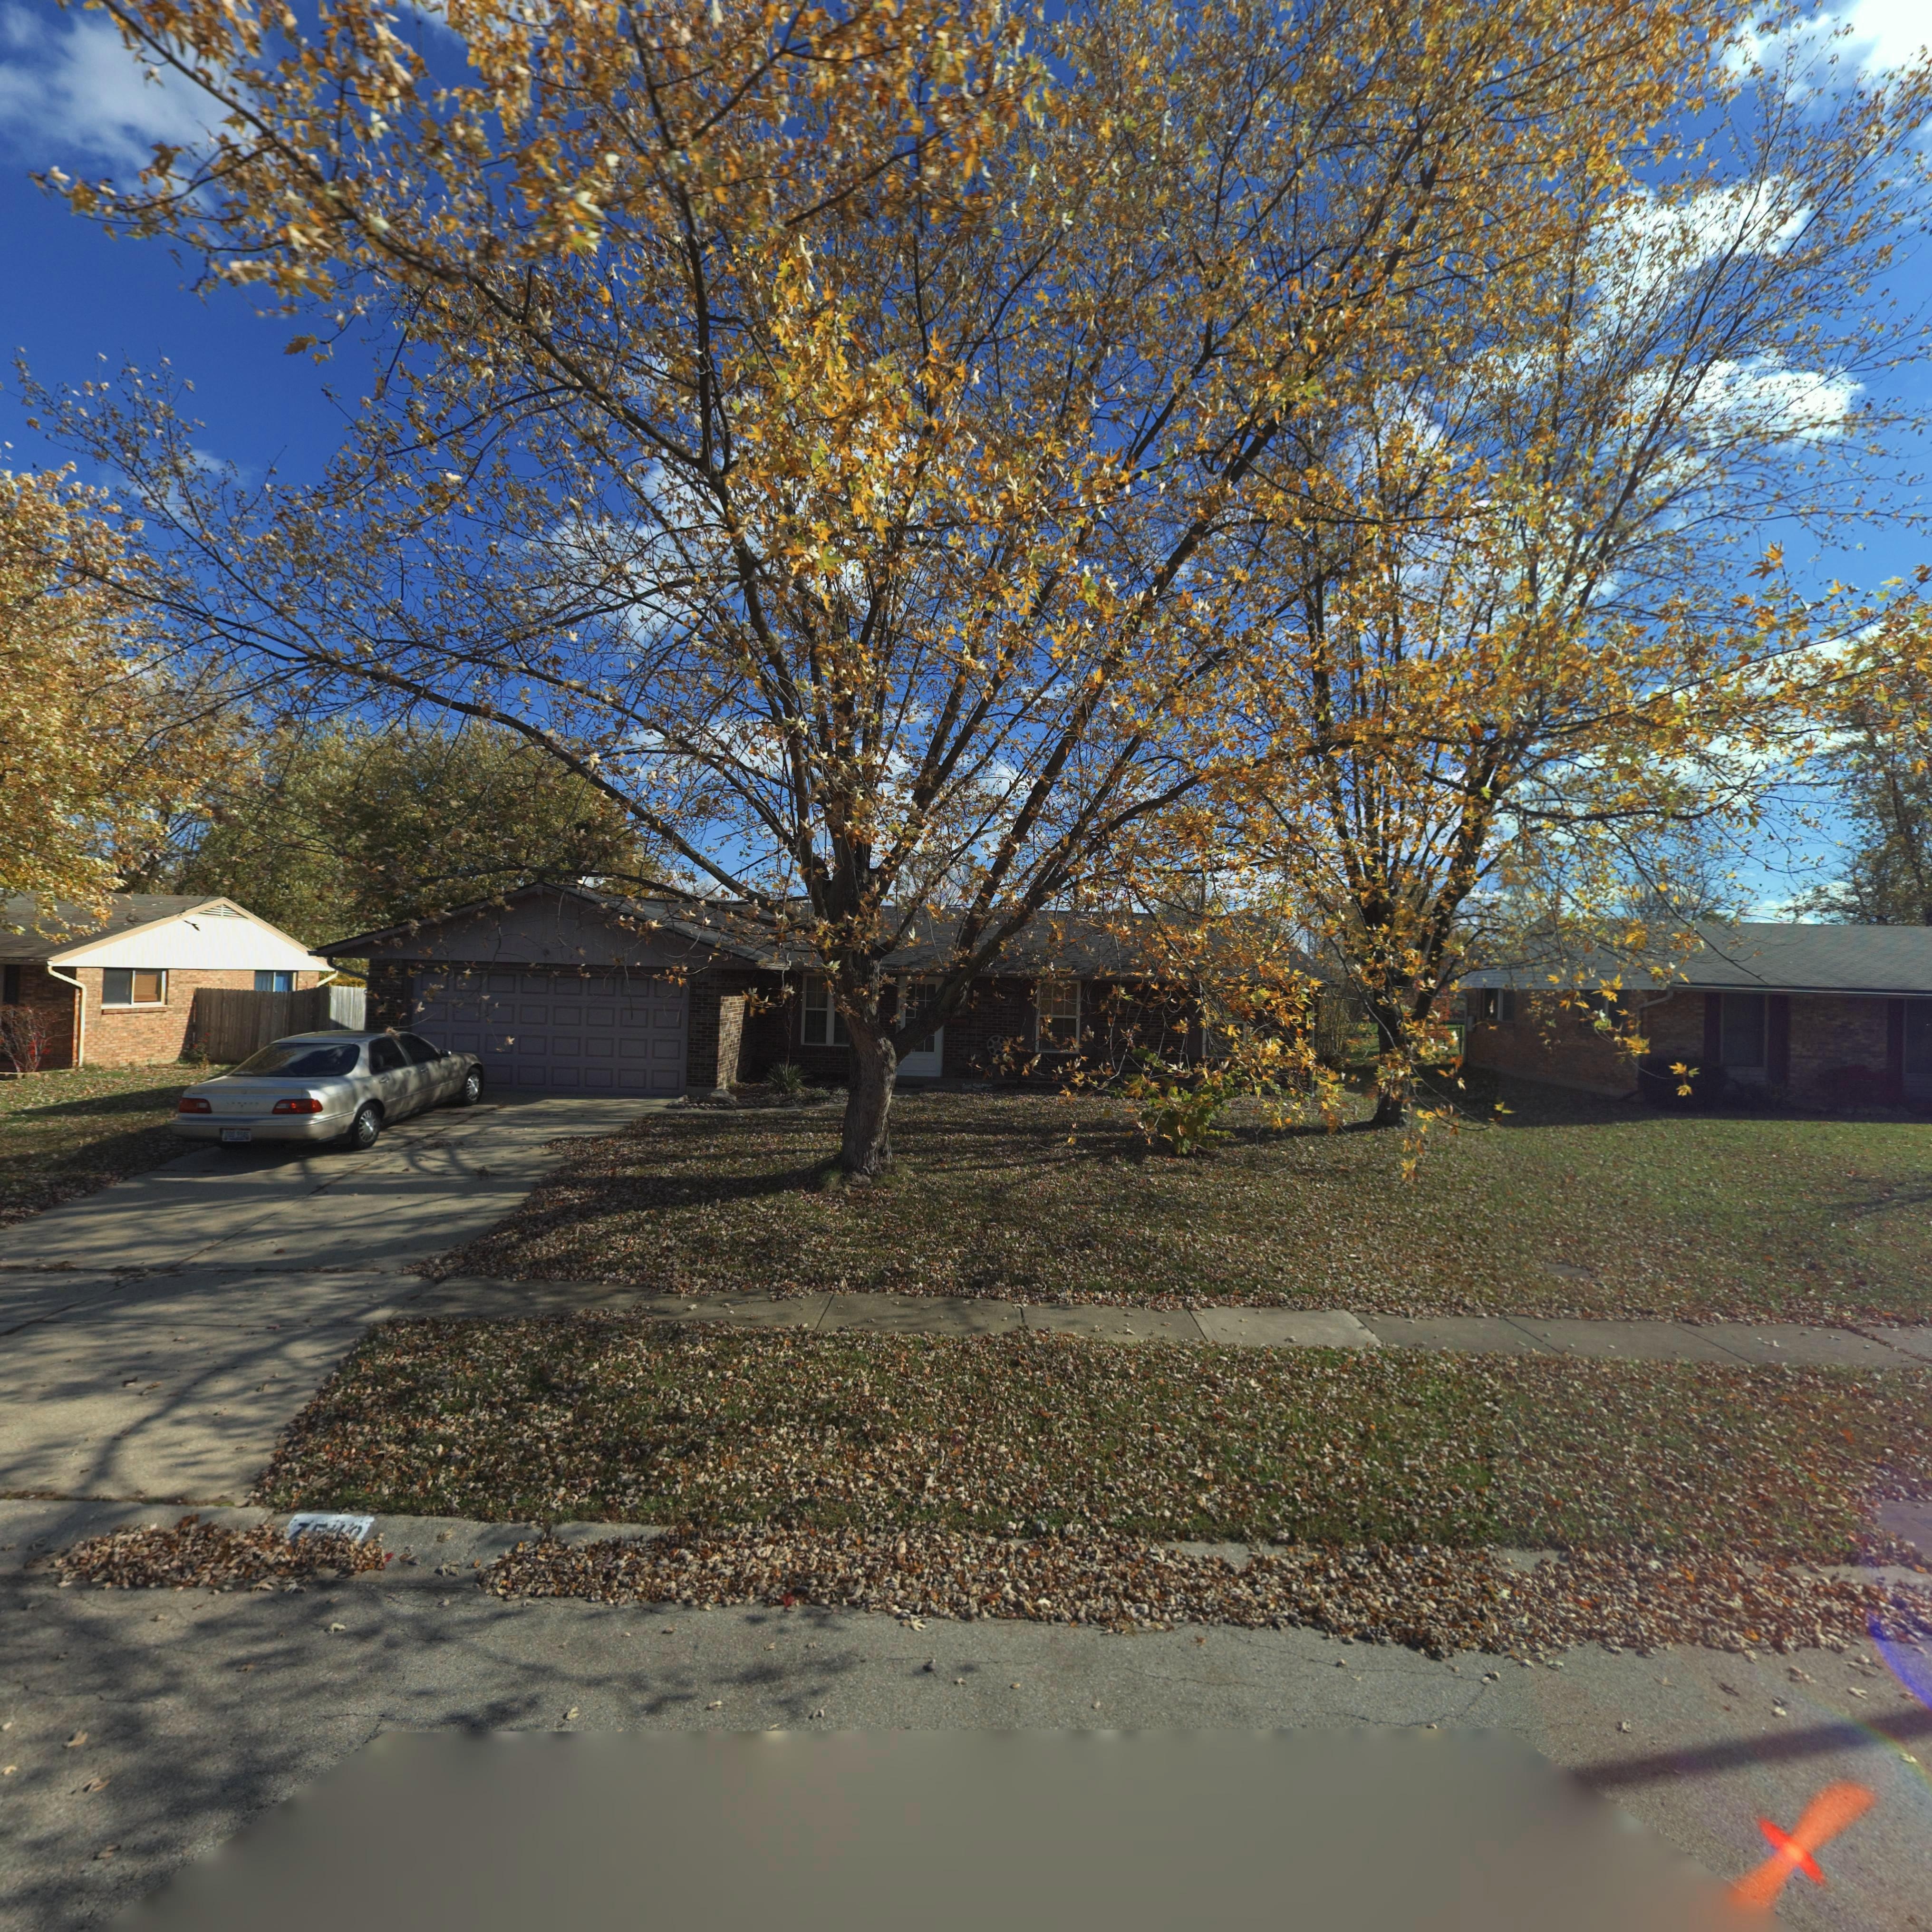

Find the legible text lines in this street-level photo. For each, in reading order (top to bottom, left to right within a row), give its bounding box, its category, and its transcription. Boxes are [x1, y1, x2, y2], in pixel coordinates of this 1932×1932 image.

[540, 963, 555, 971] StreetNumber: 540
[285, 1521, 312, 1543] StreetNumber: 7